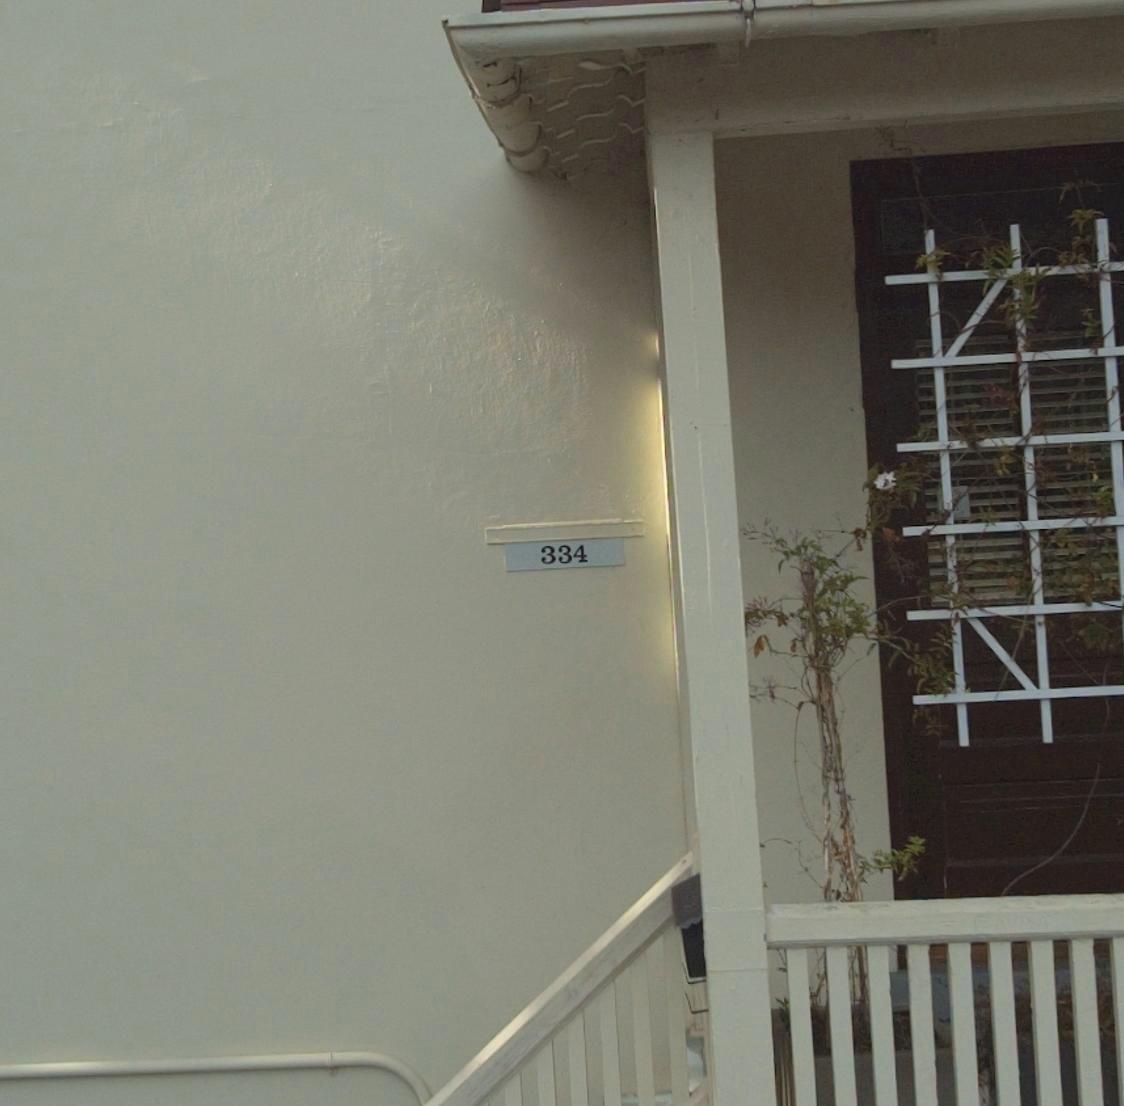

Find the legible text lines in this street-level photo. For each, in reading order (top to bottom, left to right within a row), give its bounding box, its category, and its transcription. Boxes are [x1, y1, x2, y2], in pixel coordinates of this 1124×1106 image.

[539, 543, 590, 565] StreetNumber: 334